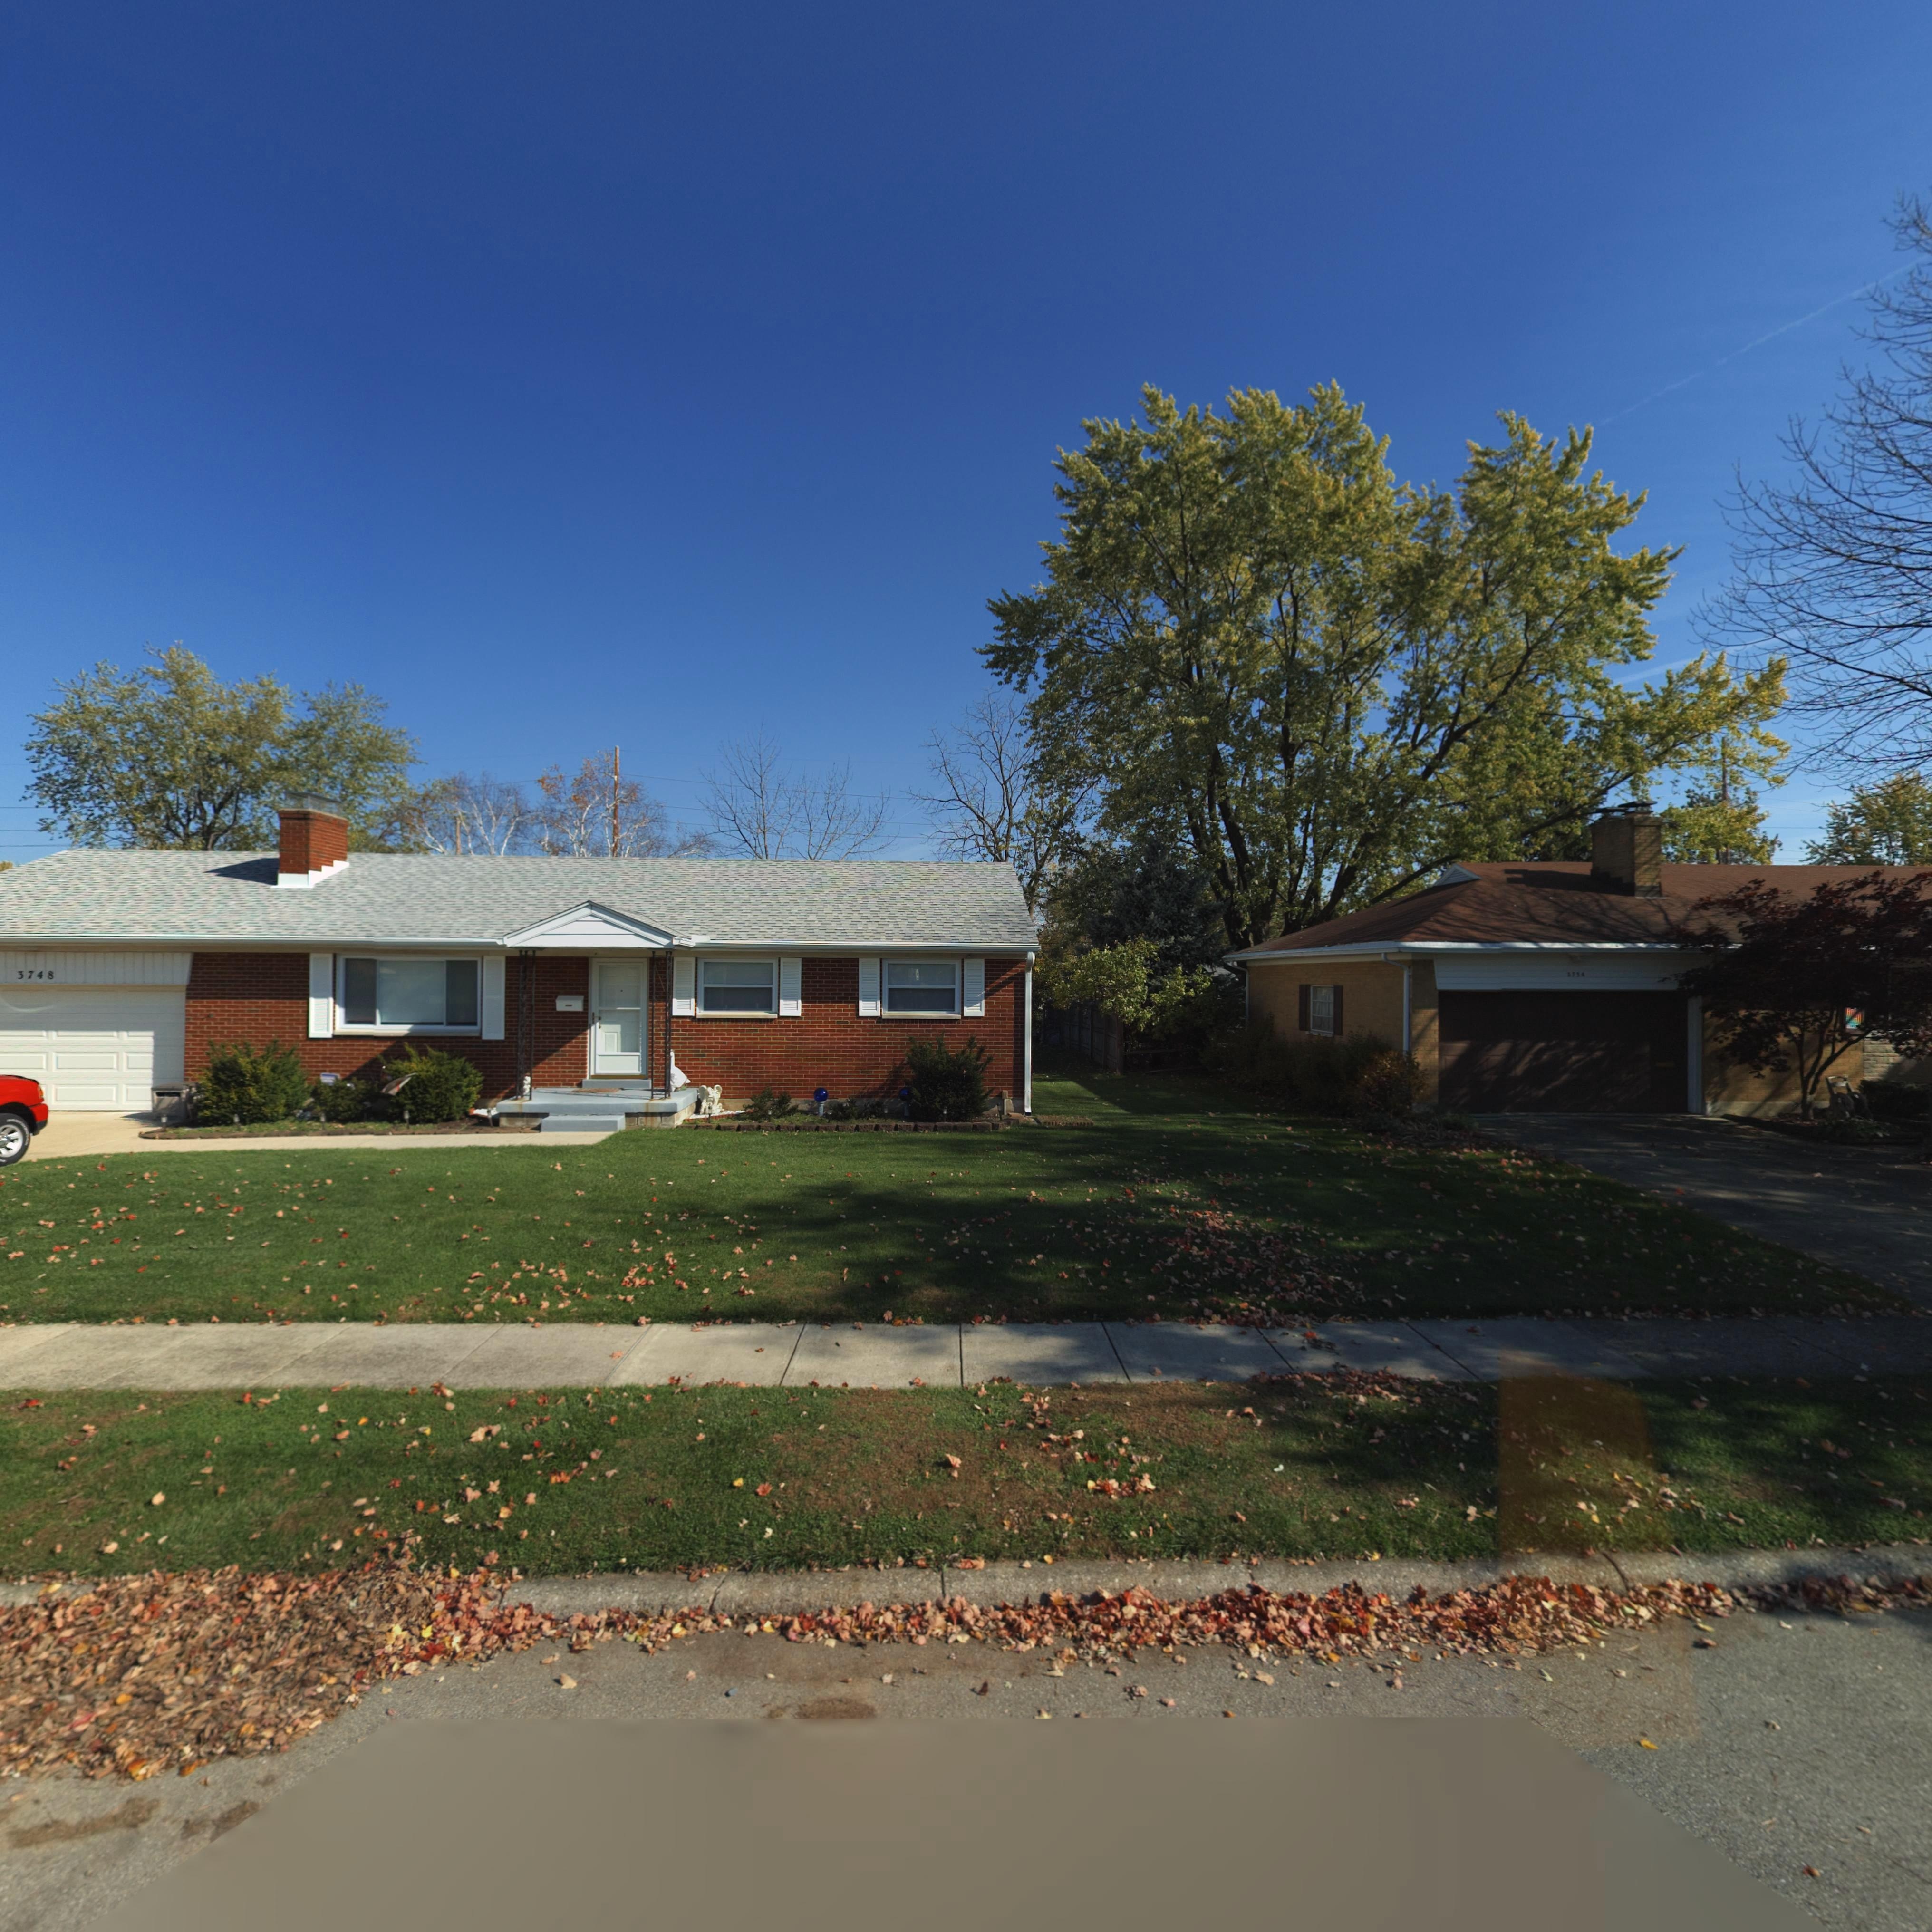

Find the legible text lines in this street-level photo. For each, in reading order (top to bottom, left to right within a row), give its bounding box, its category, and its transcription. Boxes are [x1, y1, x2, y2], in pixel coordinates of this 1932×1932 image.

[16, 970, 55, 980] StreetNumber: 3748
[1566, 972, 1585, 978] StreetNumber: 3754